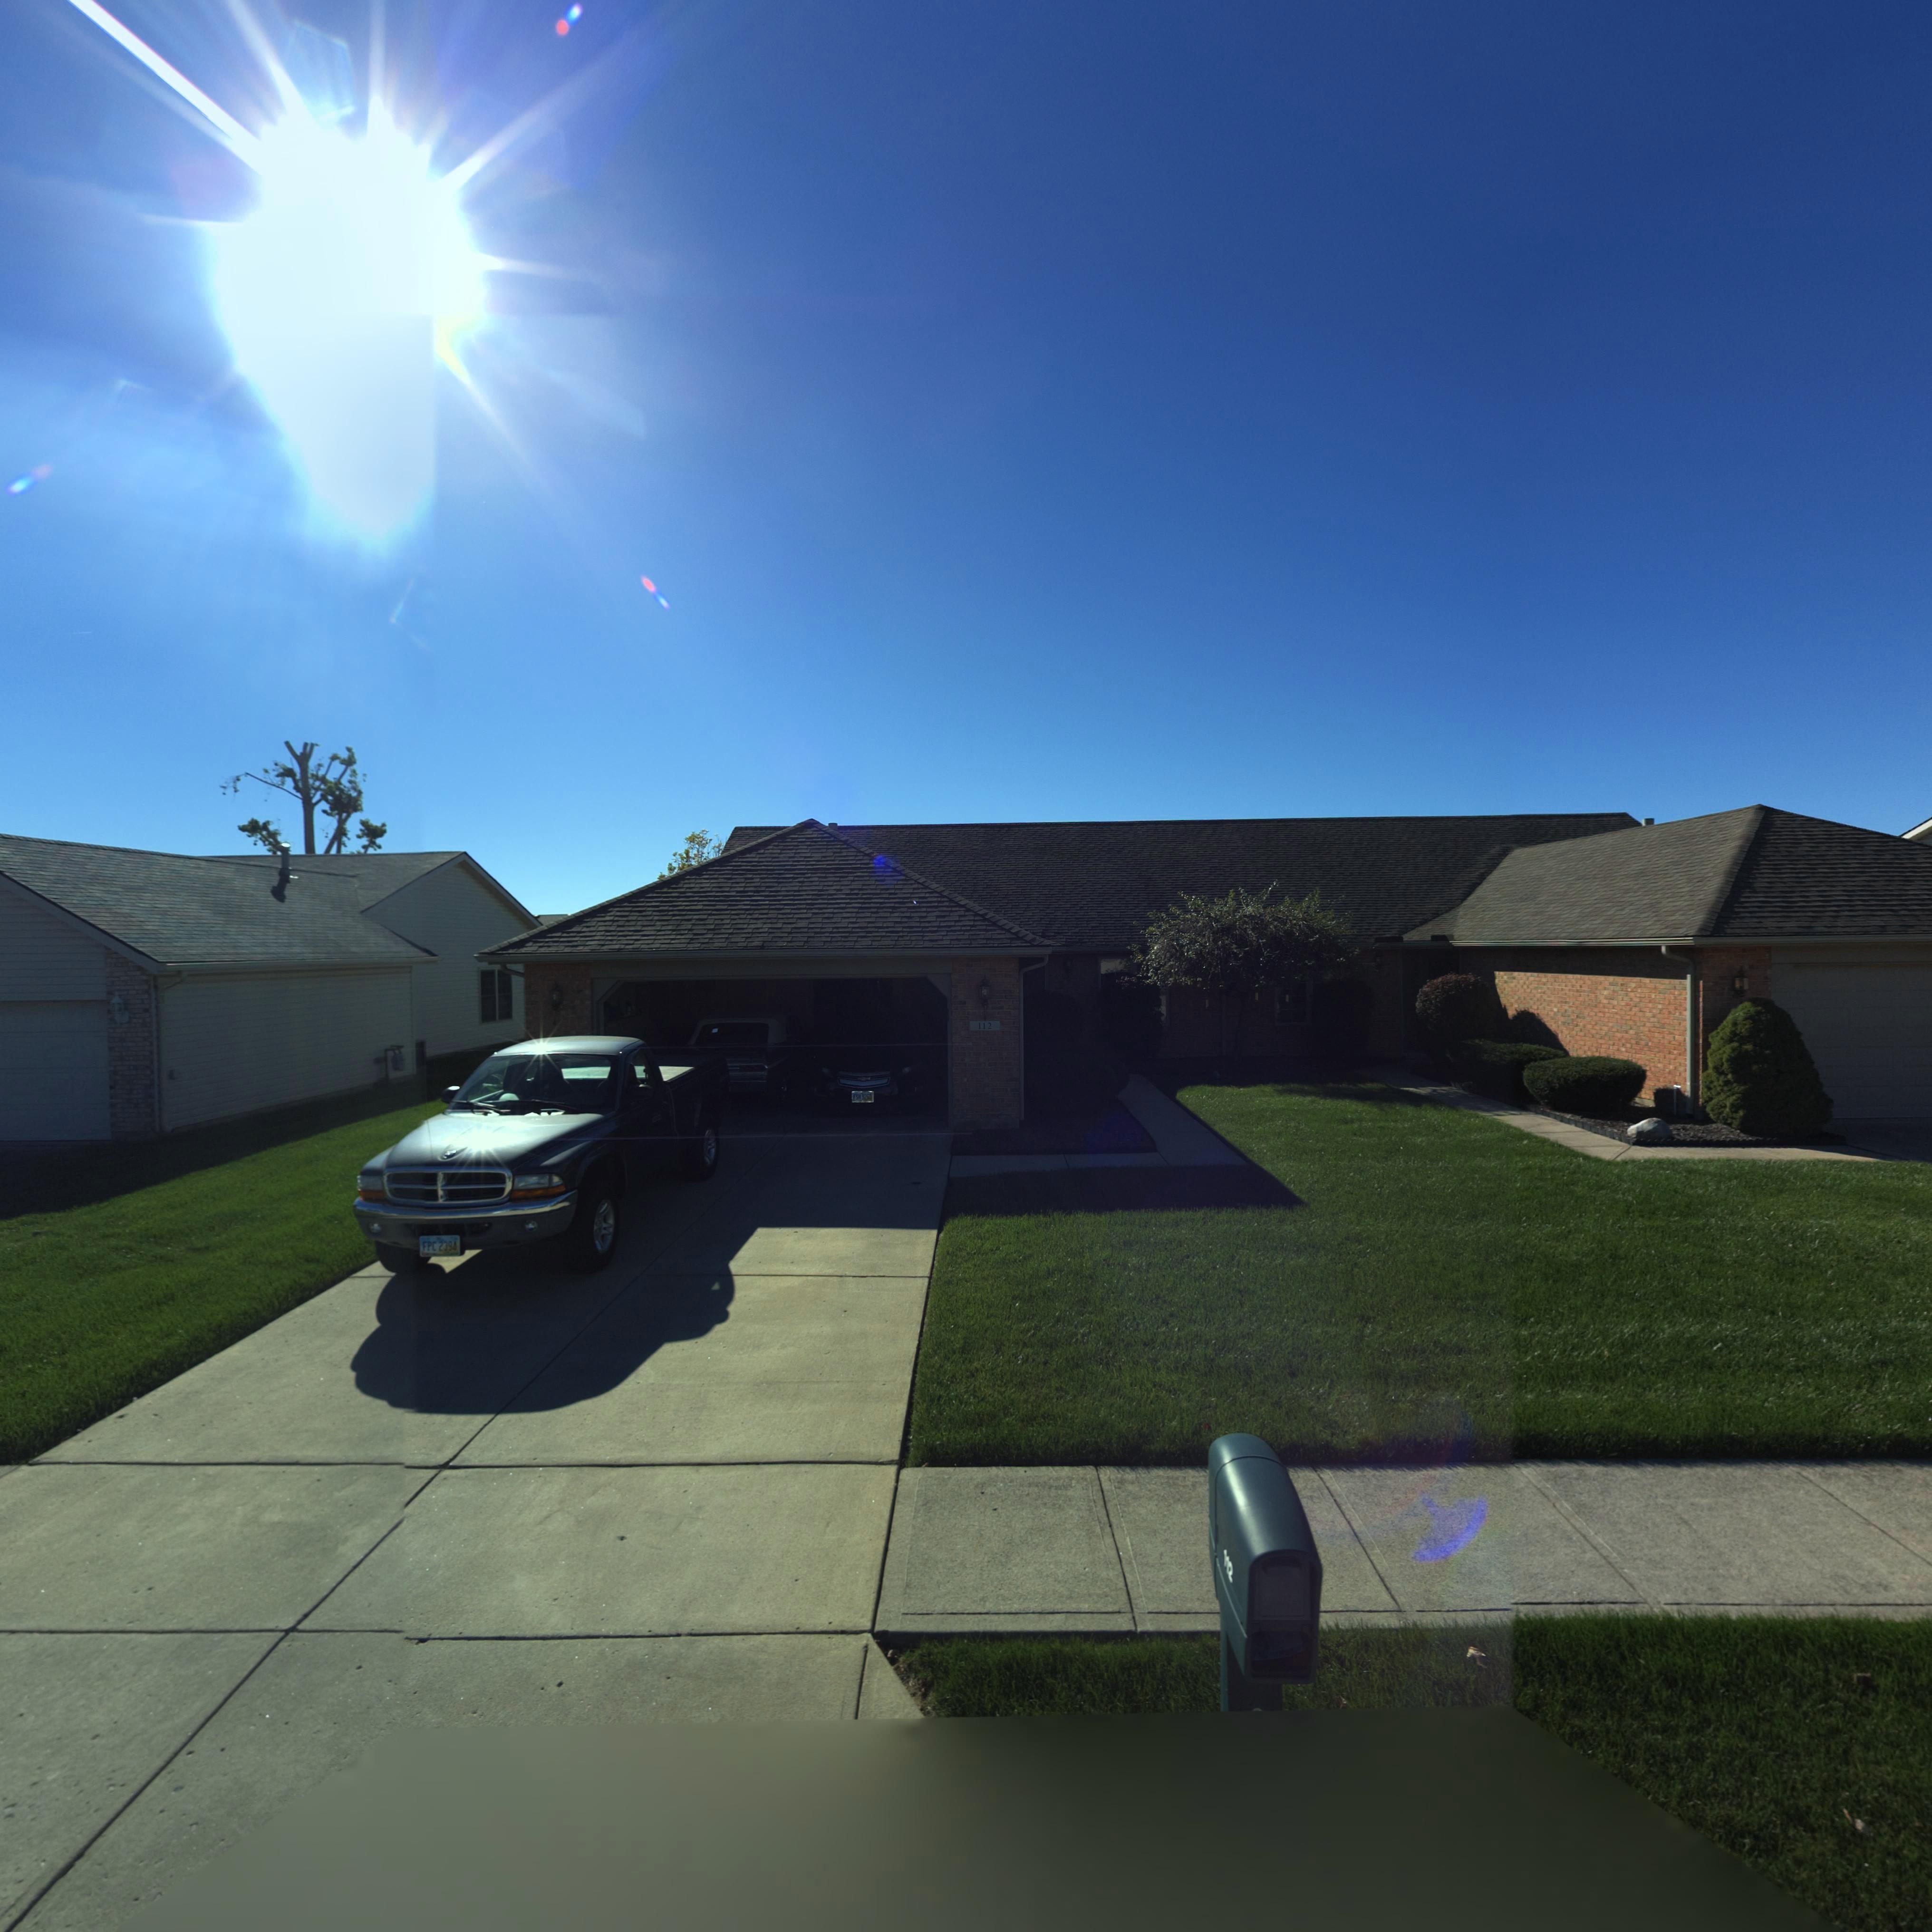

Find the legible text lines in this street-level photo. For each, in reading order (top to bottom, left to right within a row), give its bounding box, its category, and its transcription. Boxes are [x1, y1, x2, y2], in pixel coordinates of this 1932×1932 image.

[977, 1022, 992, 1030] StreetNumber: 112
[421, 1239, 459, 1253] None: FPC 2394
[1223, 1547, 1235, 1584] StreetNumber: 112